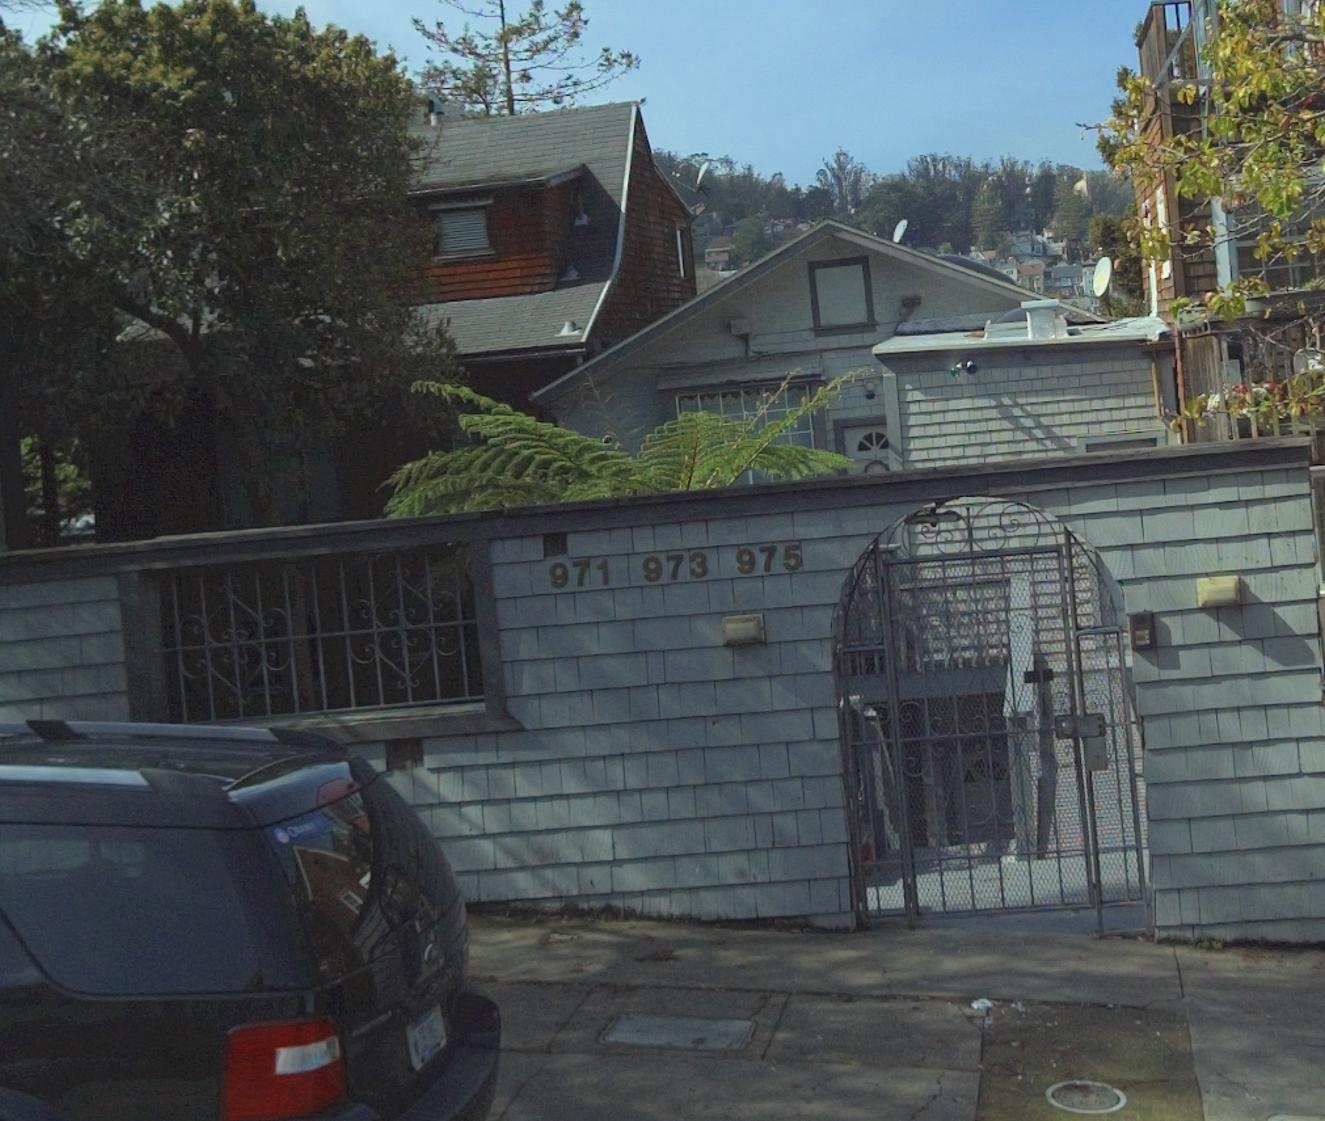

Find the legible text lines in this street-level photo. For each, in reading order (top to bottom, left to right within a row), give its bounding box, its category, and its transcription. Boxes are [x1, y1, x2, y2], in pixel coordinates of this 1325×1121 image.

[546, 556, 613, 592] StreetNumber: 971
[639, 549, 712, 585] StreetNumber: 973
[733, 541, 805, 576] StreetNumber: 975